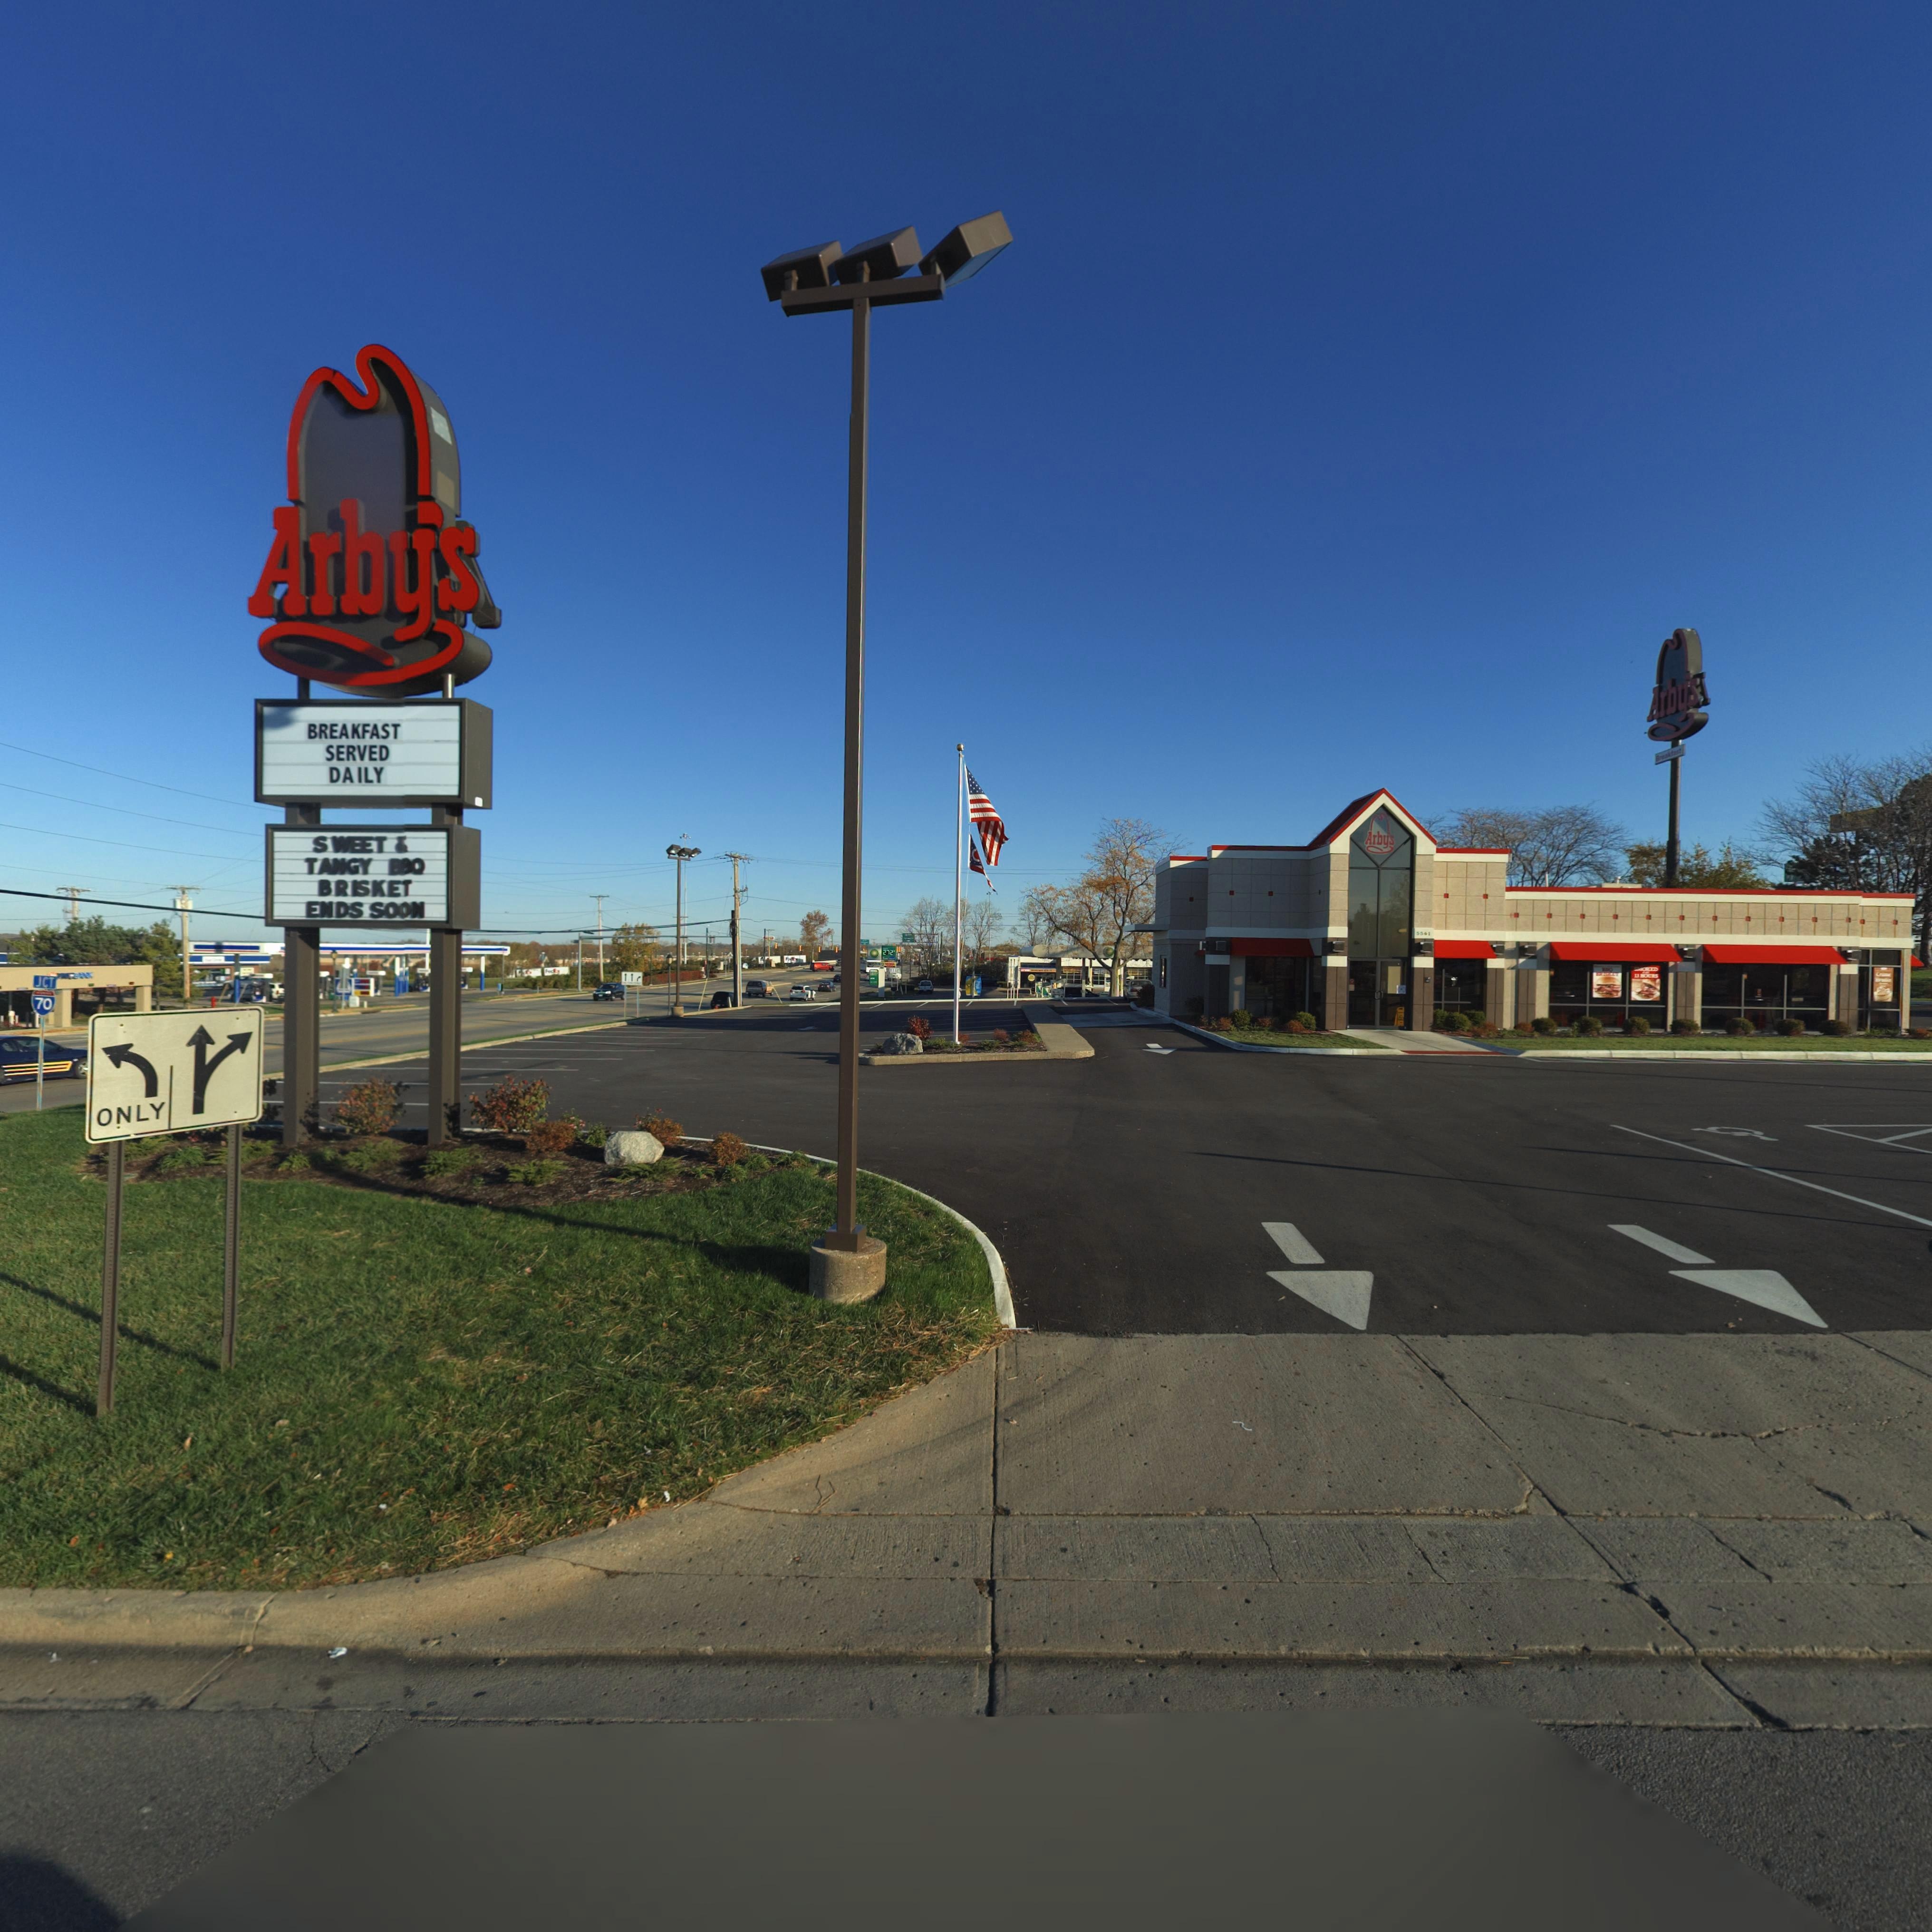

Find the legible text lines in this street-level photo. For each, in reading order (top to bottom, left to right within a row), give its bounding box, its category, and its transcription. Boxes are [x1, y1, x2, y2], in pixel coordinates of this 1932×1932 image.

[244, 496, 482, 646] BusinessName: Arby's
[1646, 671, 1700, 724] BusinessName: Arby's
[1364, 830, 1395, 850] BusinessName: Arby's
[1416, 930, 1431, 937] StreetNumber: 5561